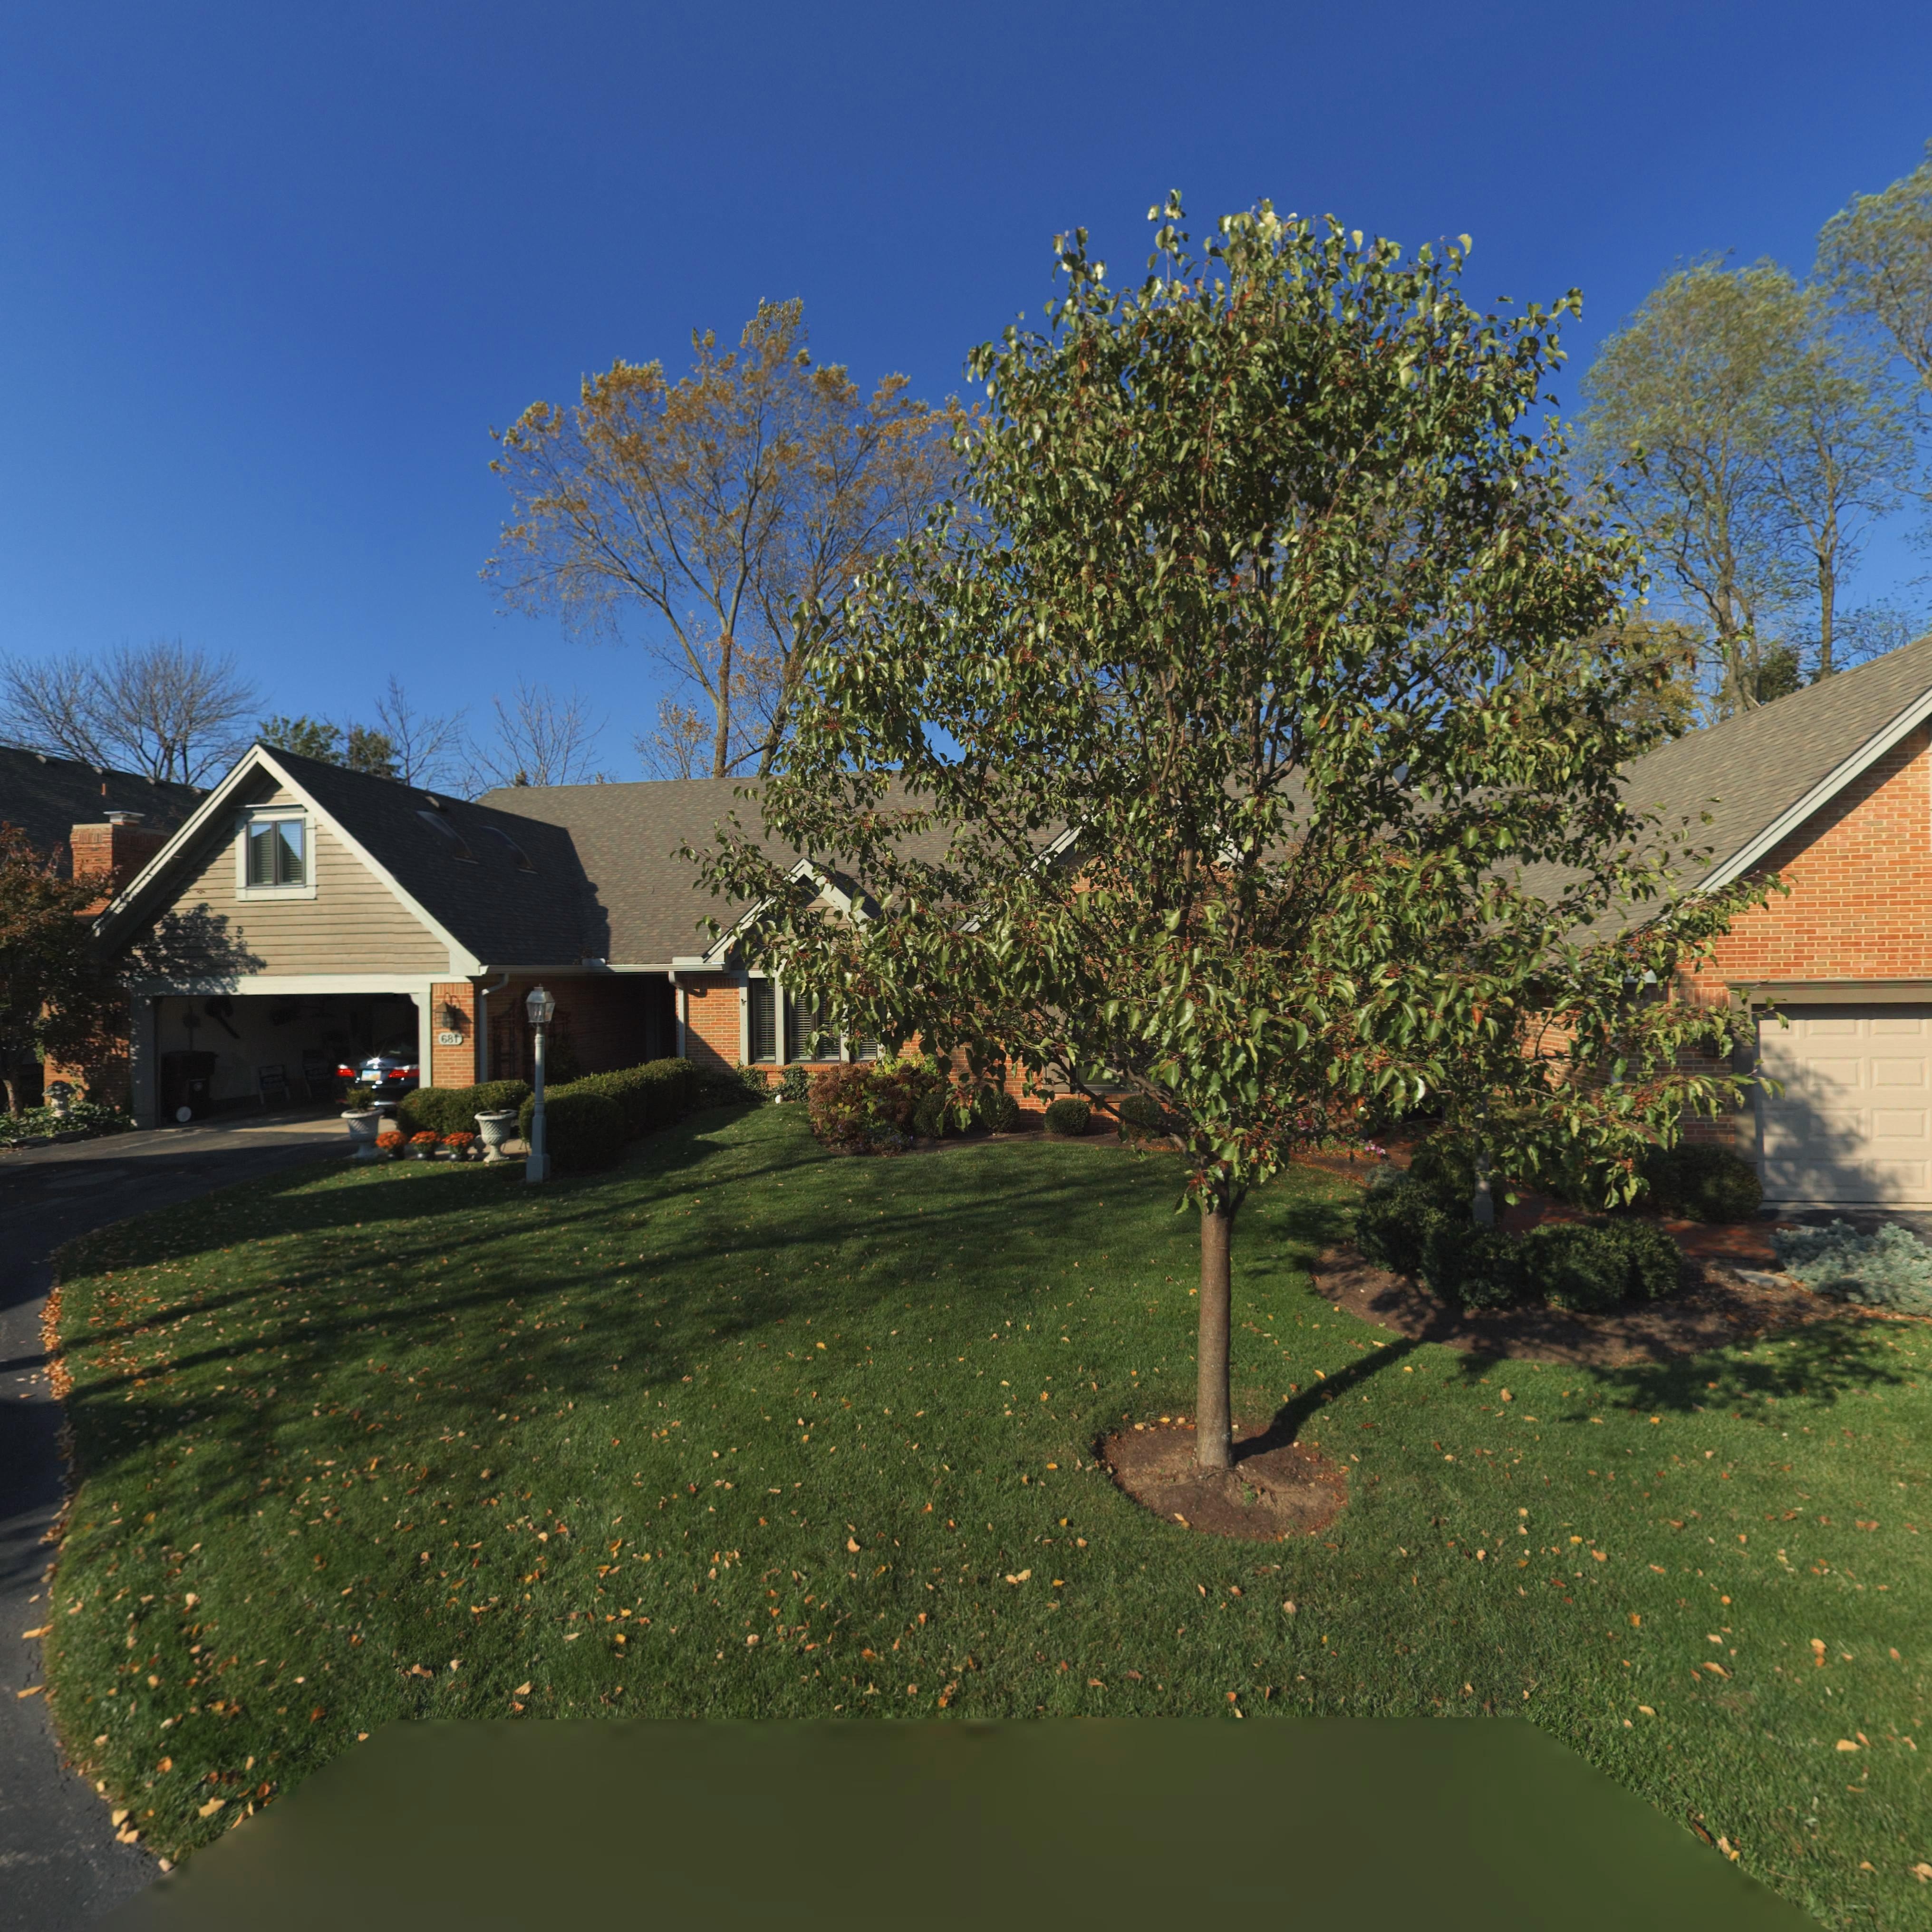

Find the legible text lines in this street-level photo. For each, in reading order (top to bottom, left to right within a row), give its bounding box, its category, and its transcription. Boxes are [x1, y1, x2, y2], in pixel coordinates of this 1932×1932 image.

[440, 1033, 459, 1044] StreetNumber: 681